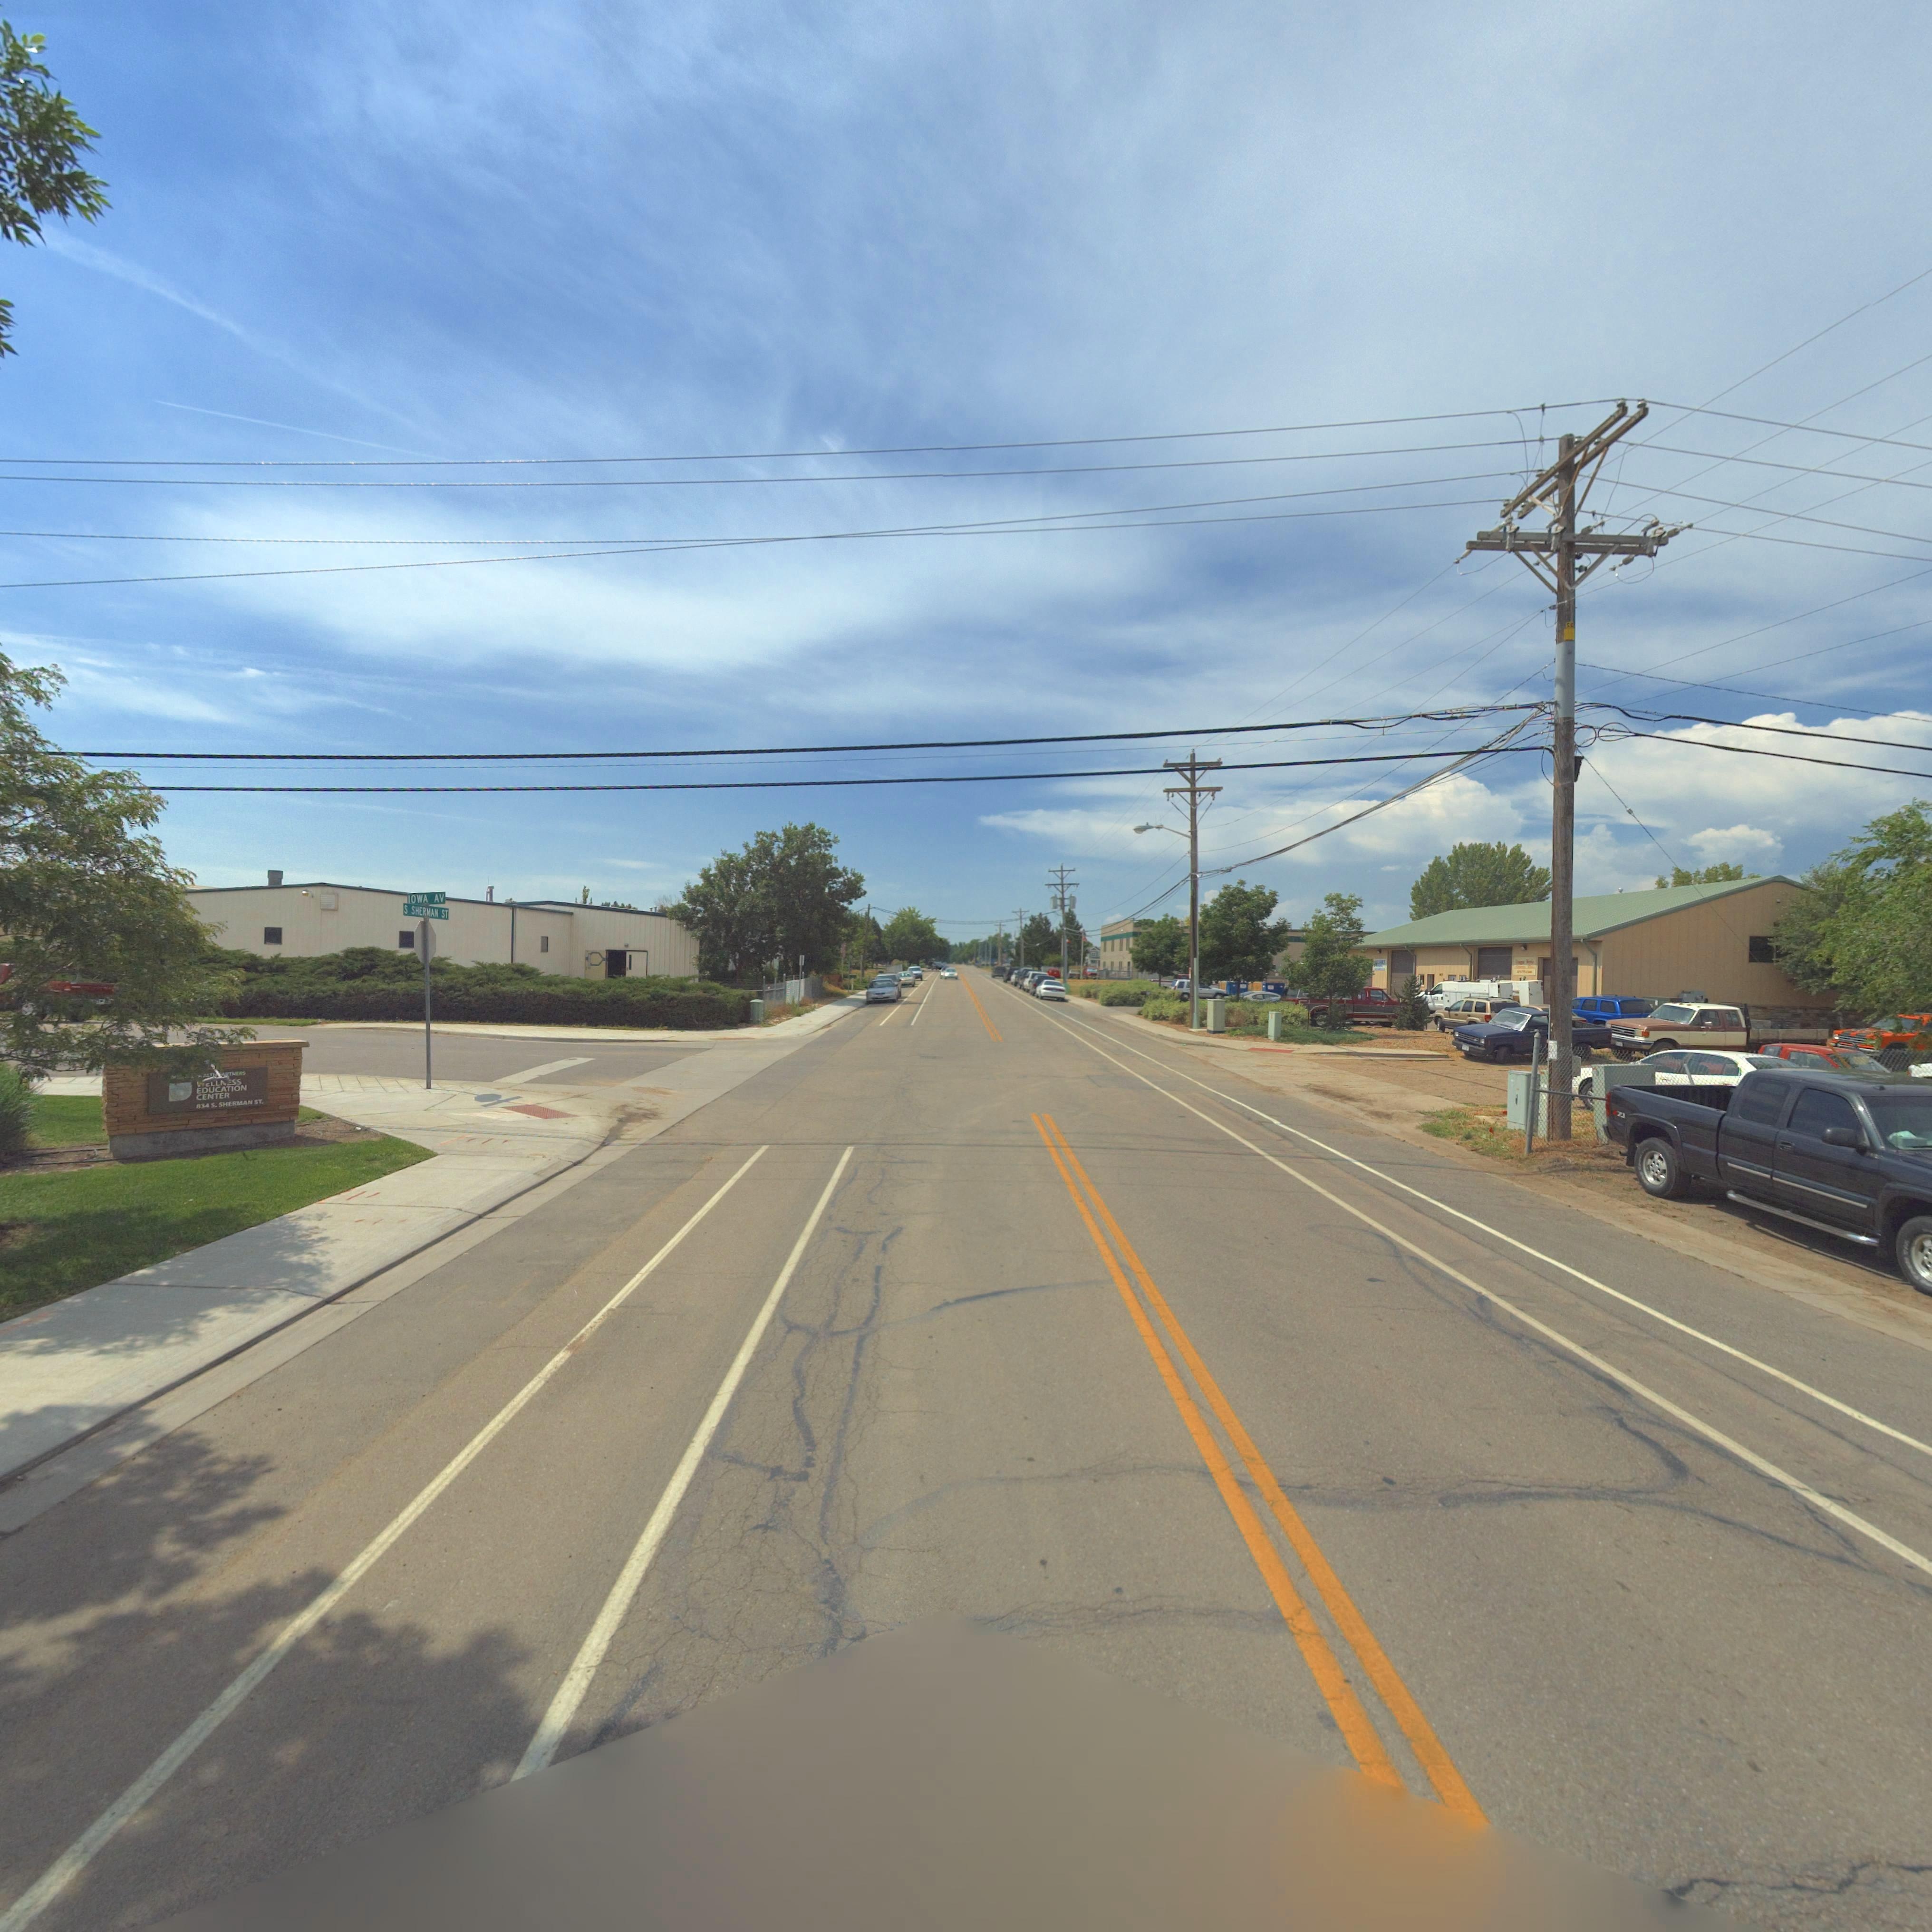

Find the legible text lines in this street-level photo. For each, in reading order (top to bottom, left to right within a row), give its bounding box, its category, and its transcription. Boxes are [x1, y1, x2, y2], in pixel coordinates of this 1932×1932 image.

[407, 893, 444, 904] StreetName: IOWA AV
[404, 904, 448, 918] StreetName: S SHERMAN ST
[1515, 959, 1535, 965] BusinessName: U***** W*****
[197, 1070, 247, 1078] BusinessName: *ALTH **TNERS
[195, 1078, 242, 1087] BusinessName: **LLN*SS
[195, 1084, 248, 1094] BusinessName: EDUCATION
[195, 1092, 230, 1101] BusinessName: CENTER
[195, 1103, 210, 1109] StreetNumber: 834
[210, 1099, 263, 1108] StreetName: S. SHERMAN ST.